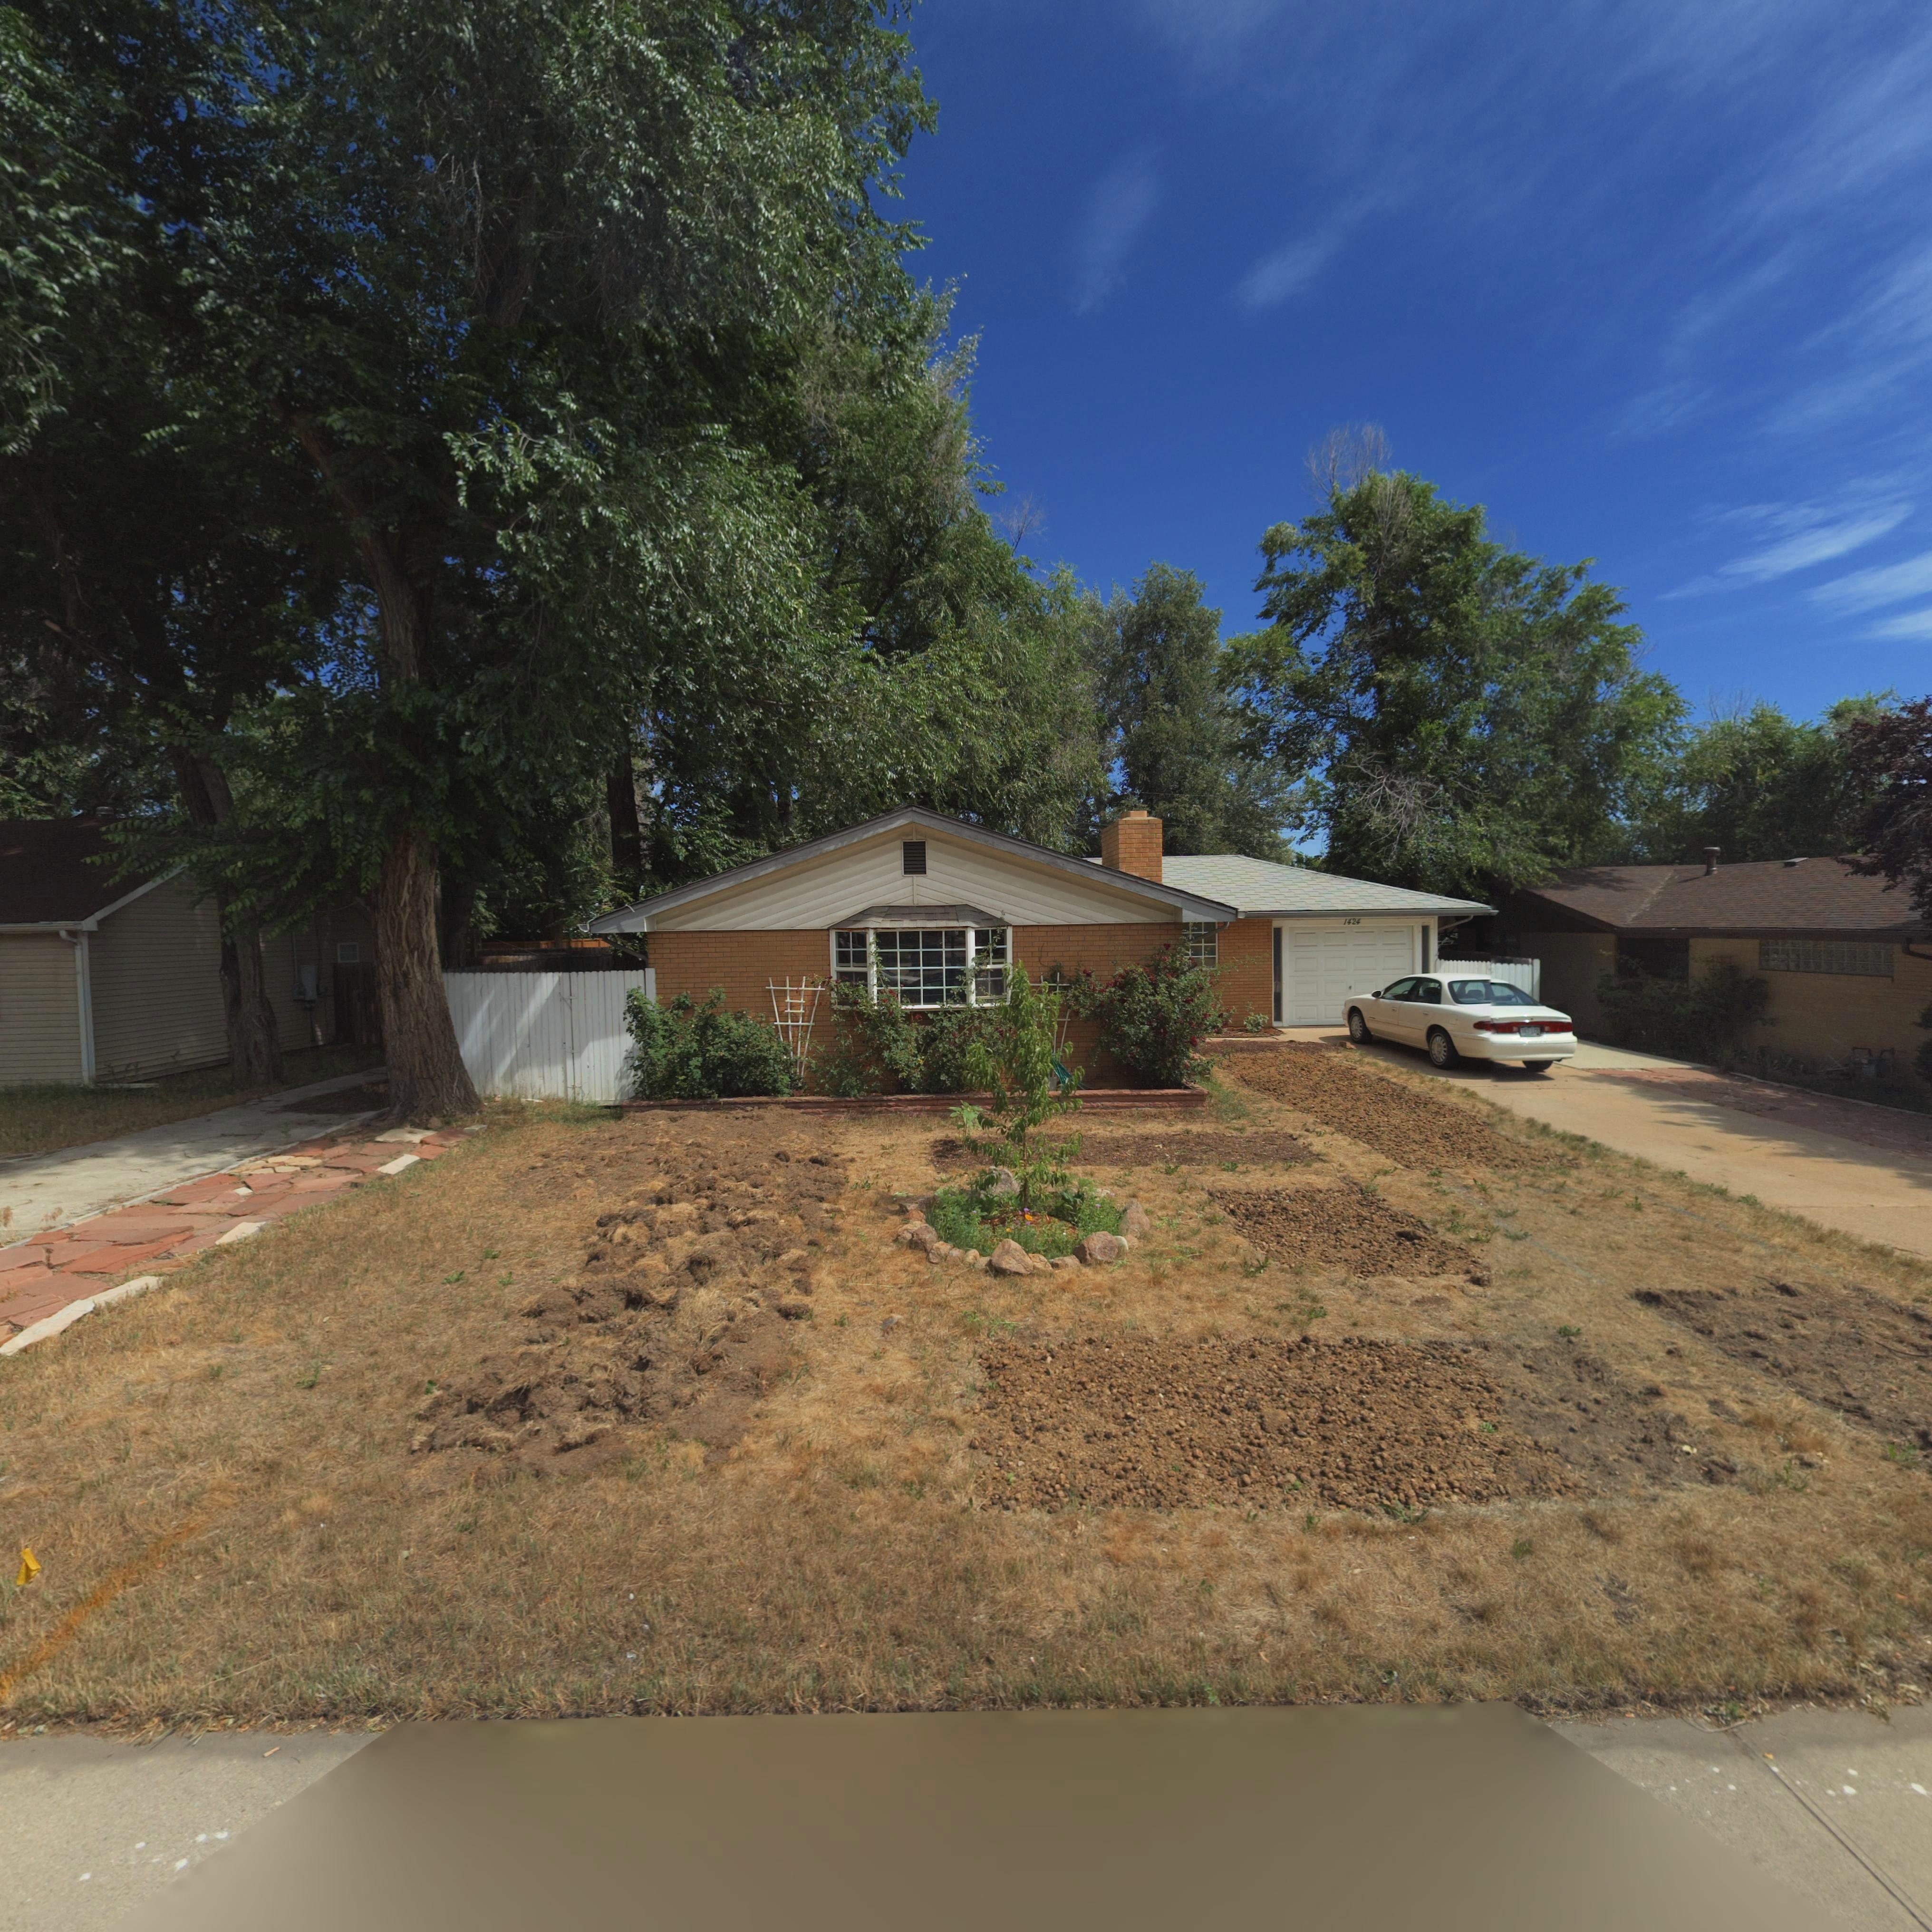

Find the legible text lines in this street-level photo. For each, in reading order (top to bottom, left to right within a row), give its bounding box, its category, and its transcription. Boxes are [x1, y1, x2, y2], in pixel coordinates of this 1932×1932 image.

[1343, 918, 1361, 925] StreetNumber: 1424